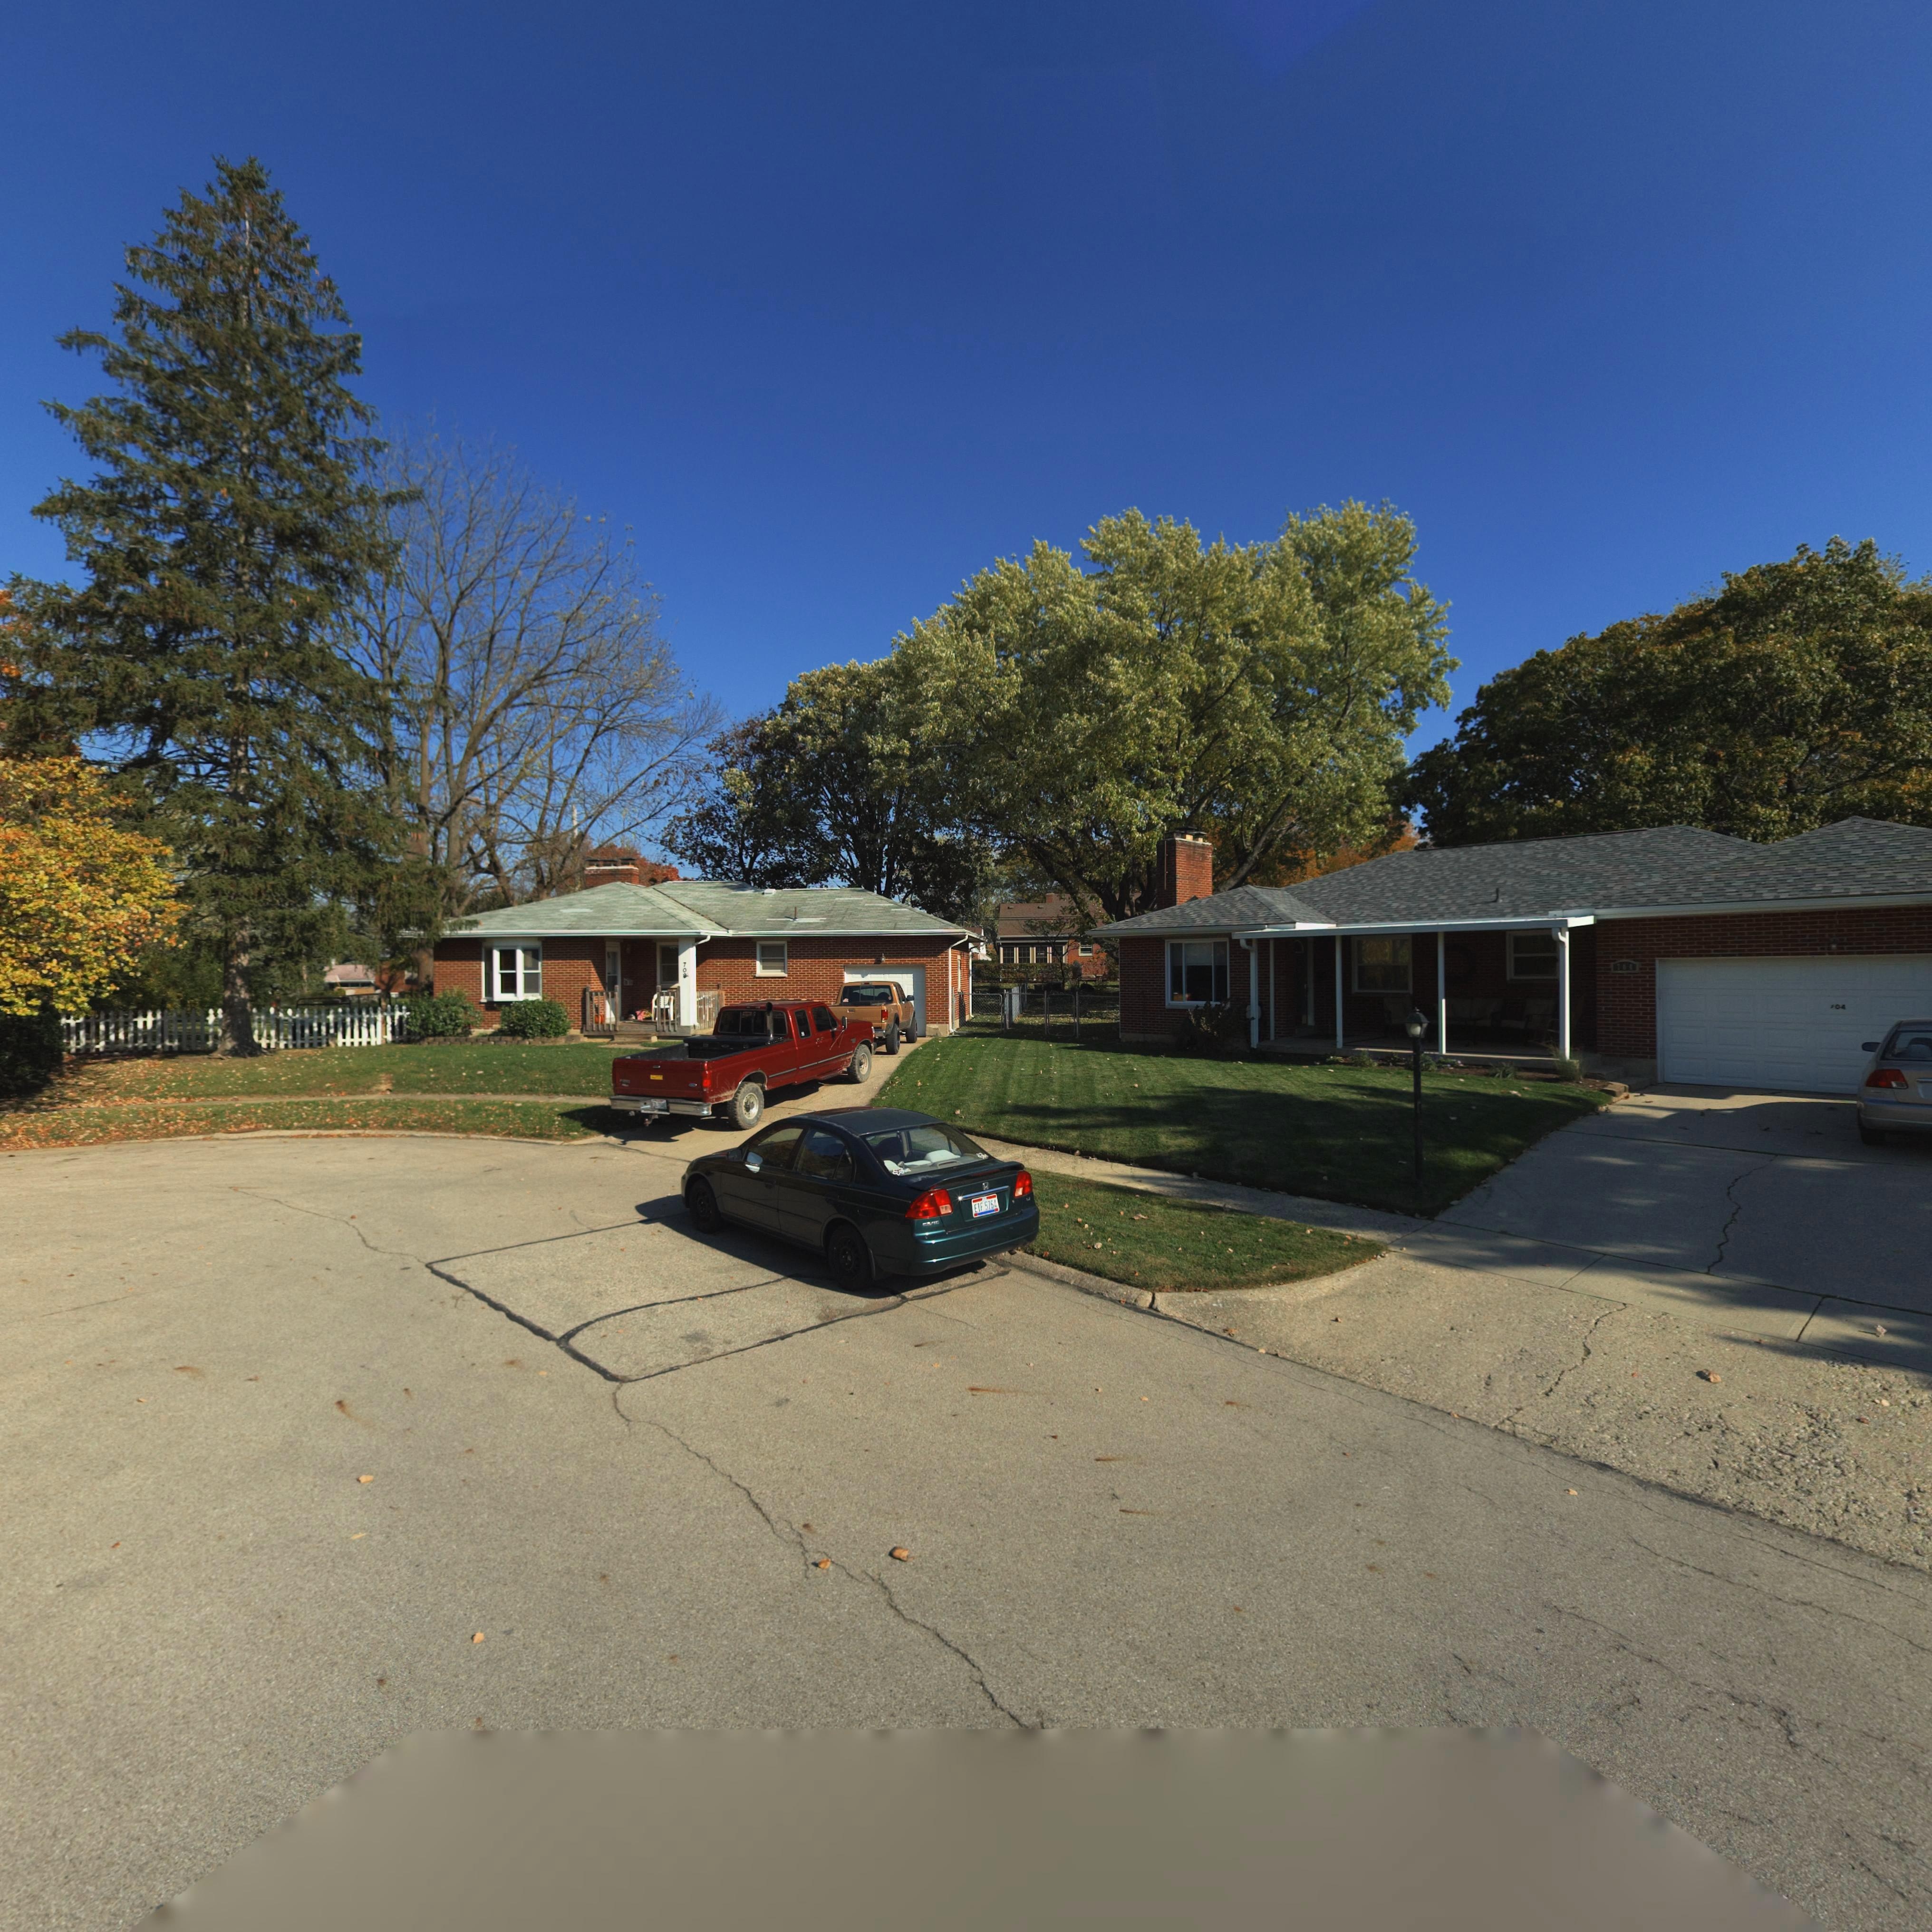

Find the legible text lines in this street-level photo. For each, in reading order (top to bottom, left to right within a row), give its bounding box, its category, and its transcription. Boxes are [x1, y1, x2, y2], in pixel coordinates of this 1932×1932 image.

[683, 961, 687, 978] StreetNumber: 708
[1616, 963, 1633, 971] StreetNumber: 704
[1829, 1003, 1845, 1010] StreetNumber: *04
[974, 1198, 997, 1213] None: E*F*5764
[922, 1220, 940, 1227] None: CIVIC